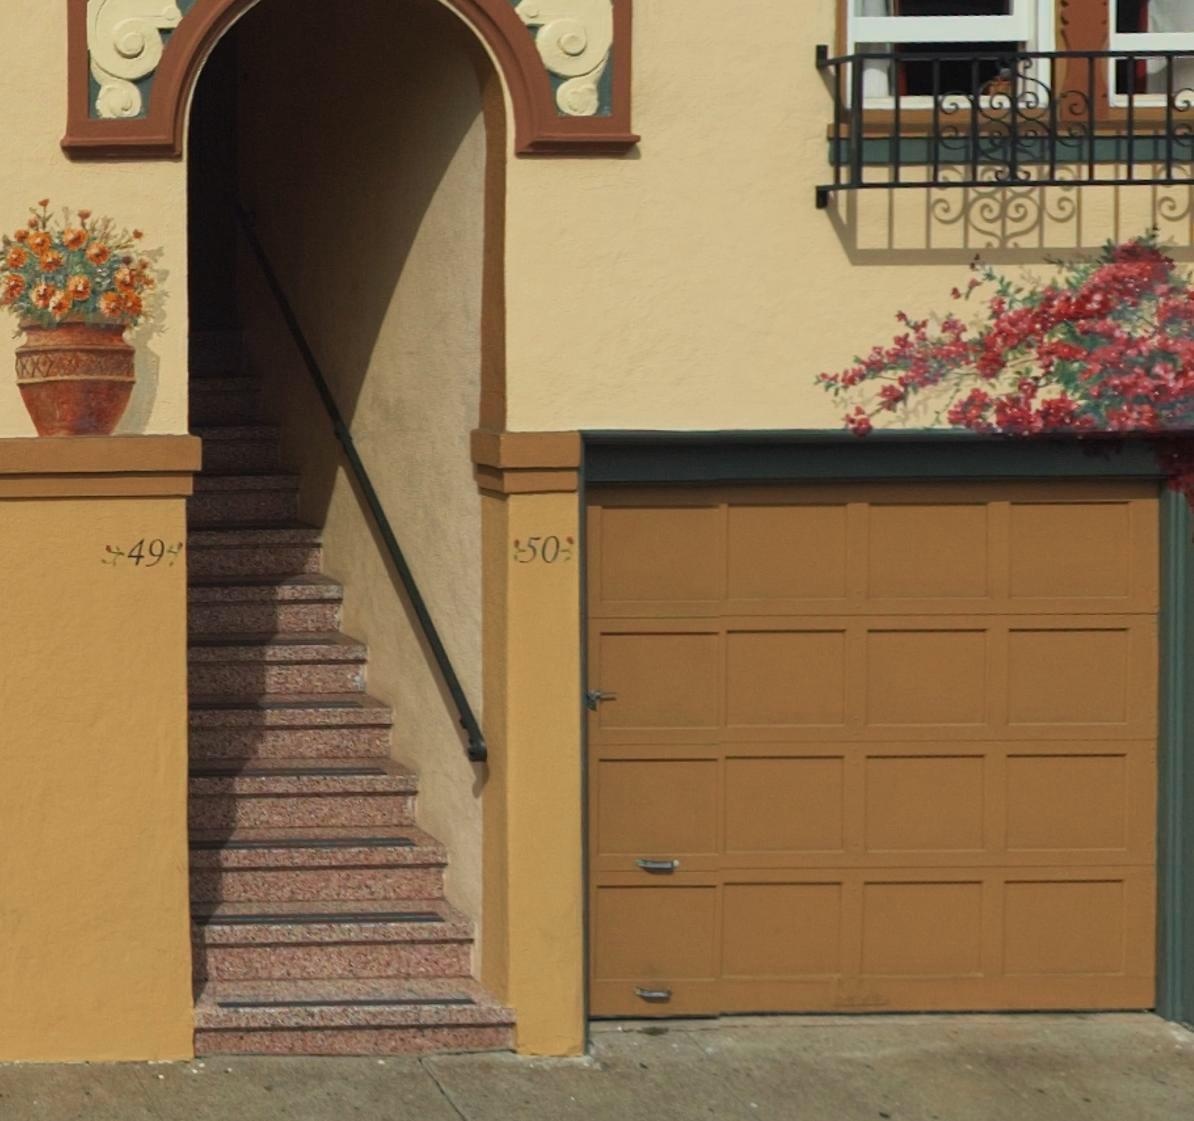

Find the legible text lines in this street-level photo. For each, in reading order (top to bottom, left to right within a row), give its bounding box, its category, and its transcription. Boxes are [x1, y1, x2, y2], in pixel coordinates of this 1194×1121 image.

[124, 536, 165, 568] StreetNumber: 49
[521, 535, 560, 565] StreetNumber: 50